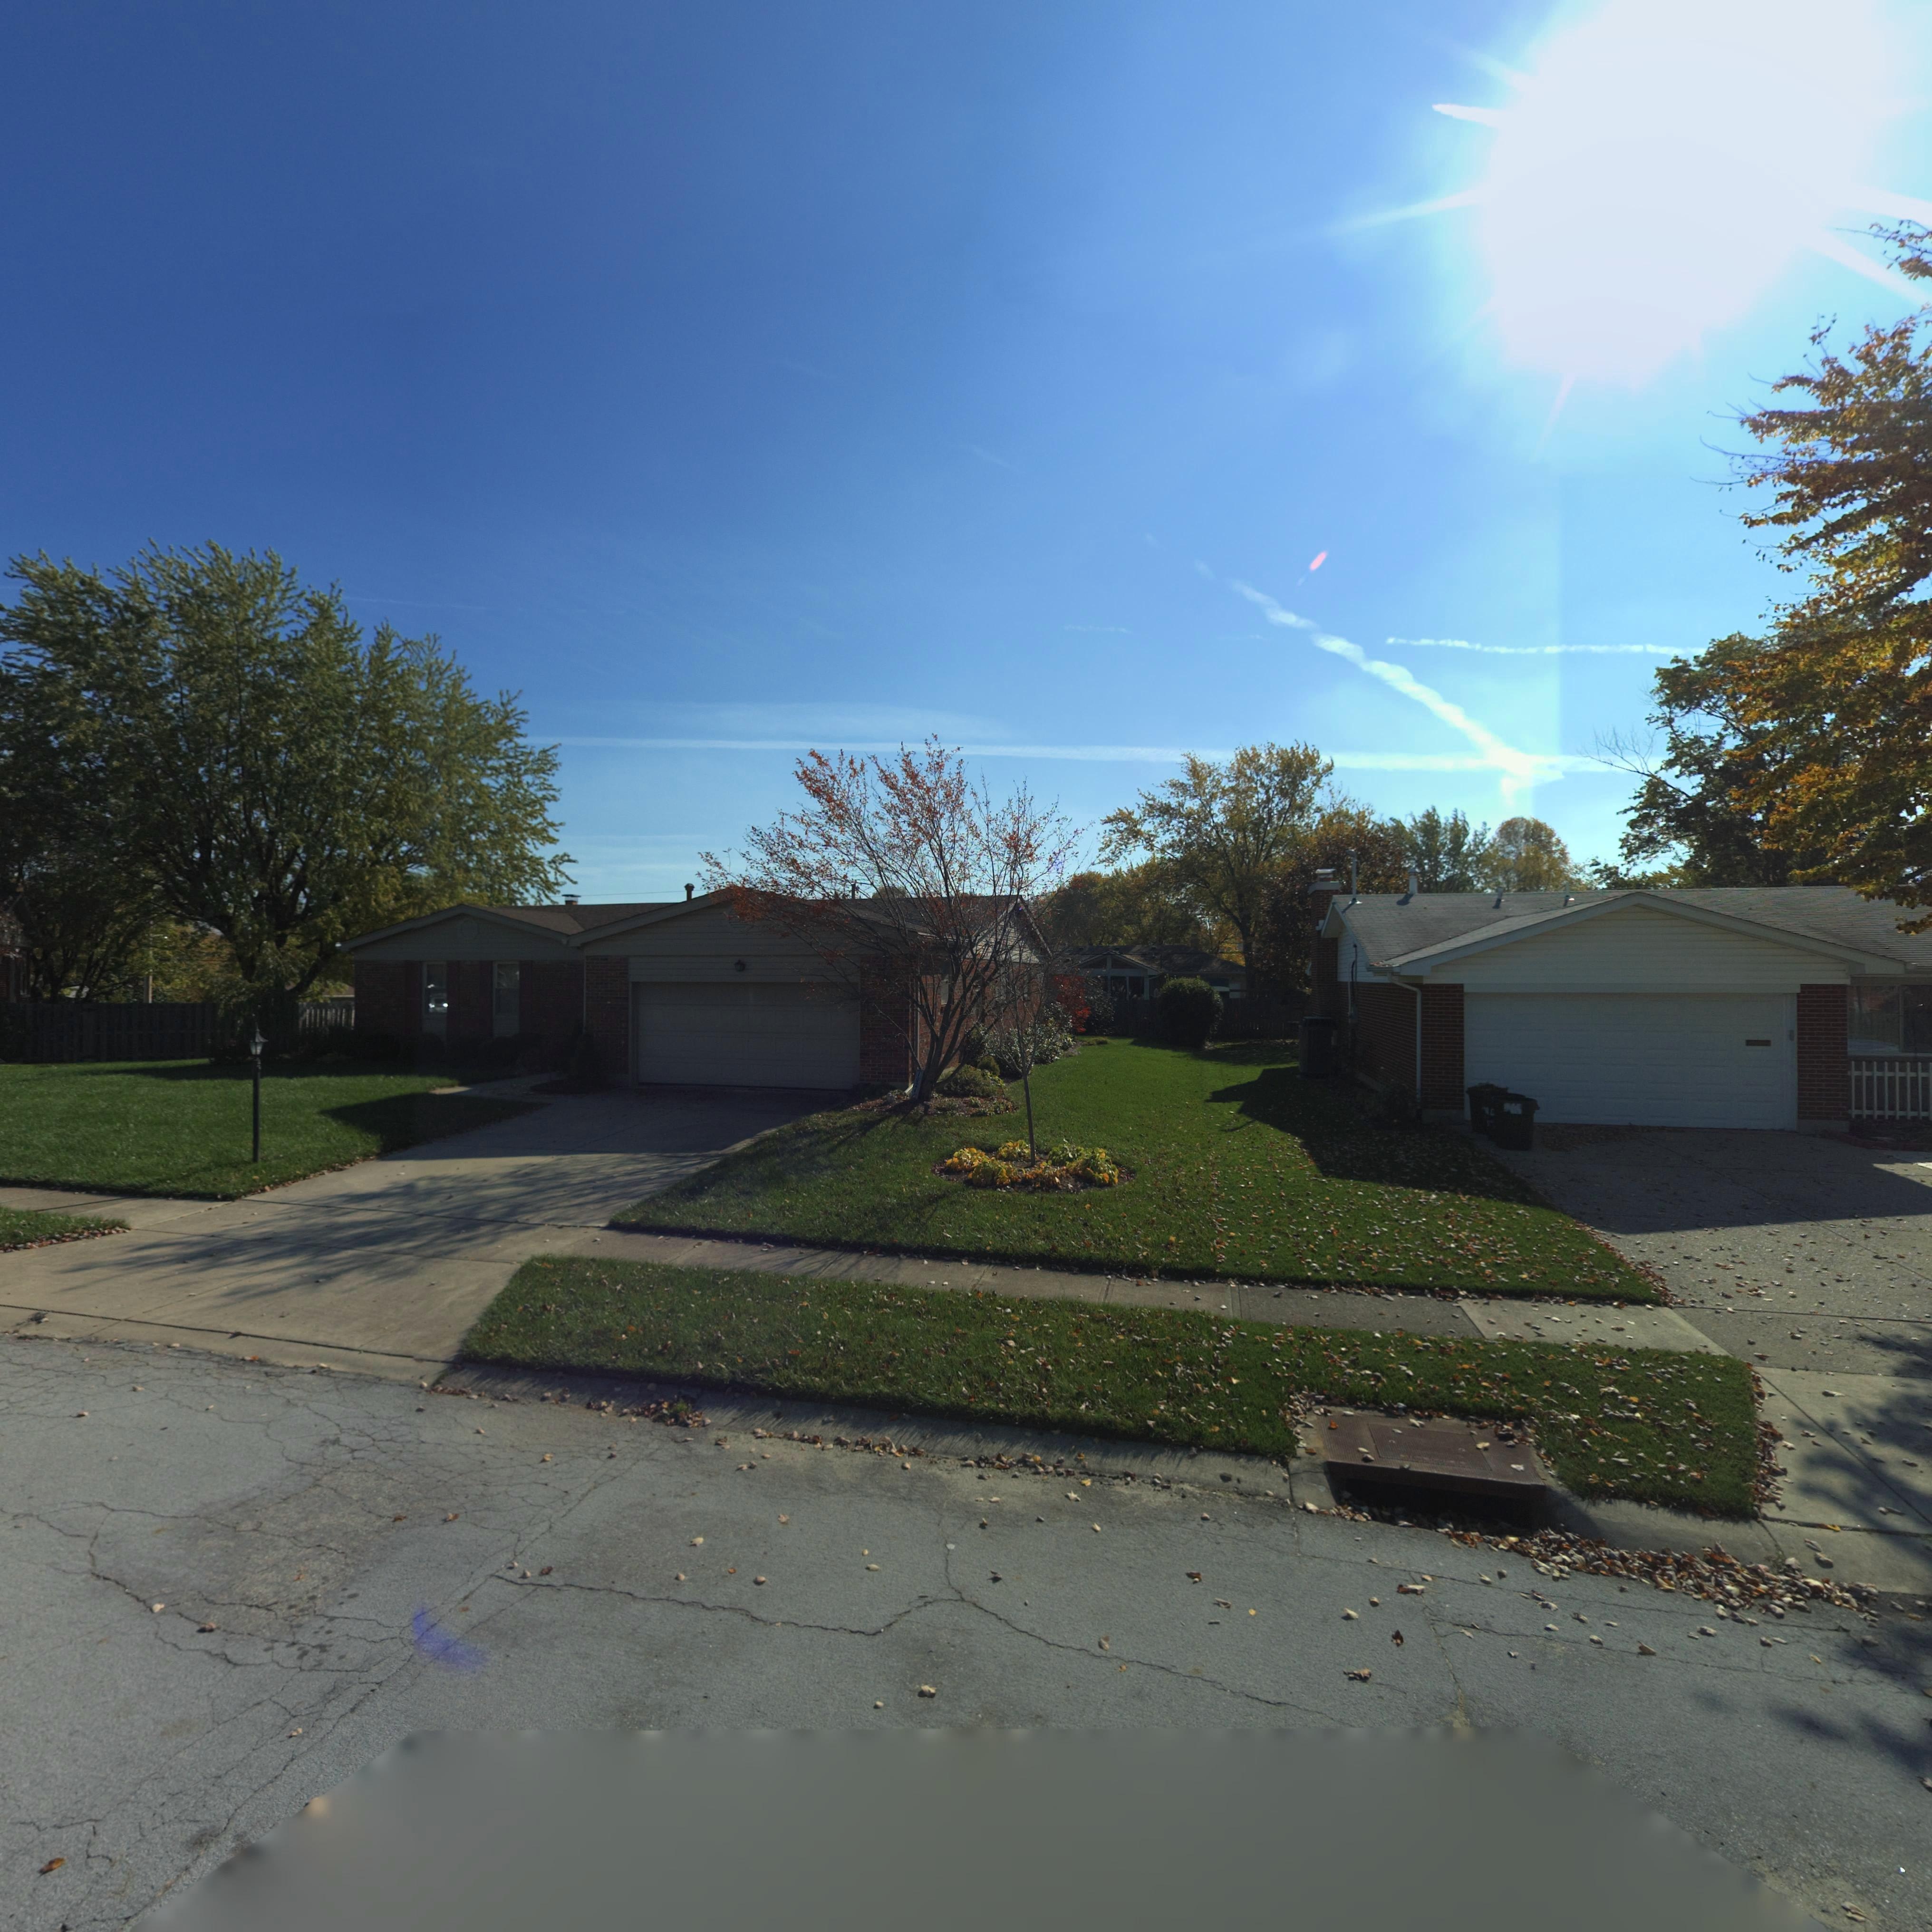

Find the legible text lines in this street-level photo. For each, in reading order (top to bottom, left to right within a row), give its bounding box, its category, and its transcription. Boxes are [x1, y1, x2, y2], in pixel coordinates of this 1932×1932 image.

[912, 1072, 921, 1093] StreetNumber: 1024